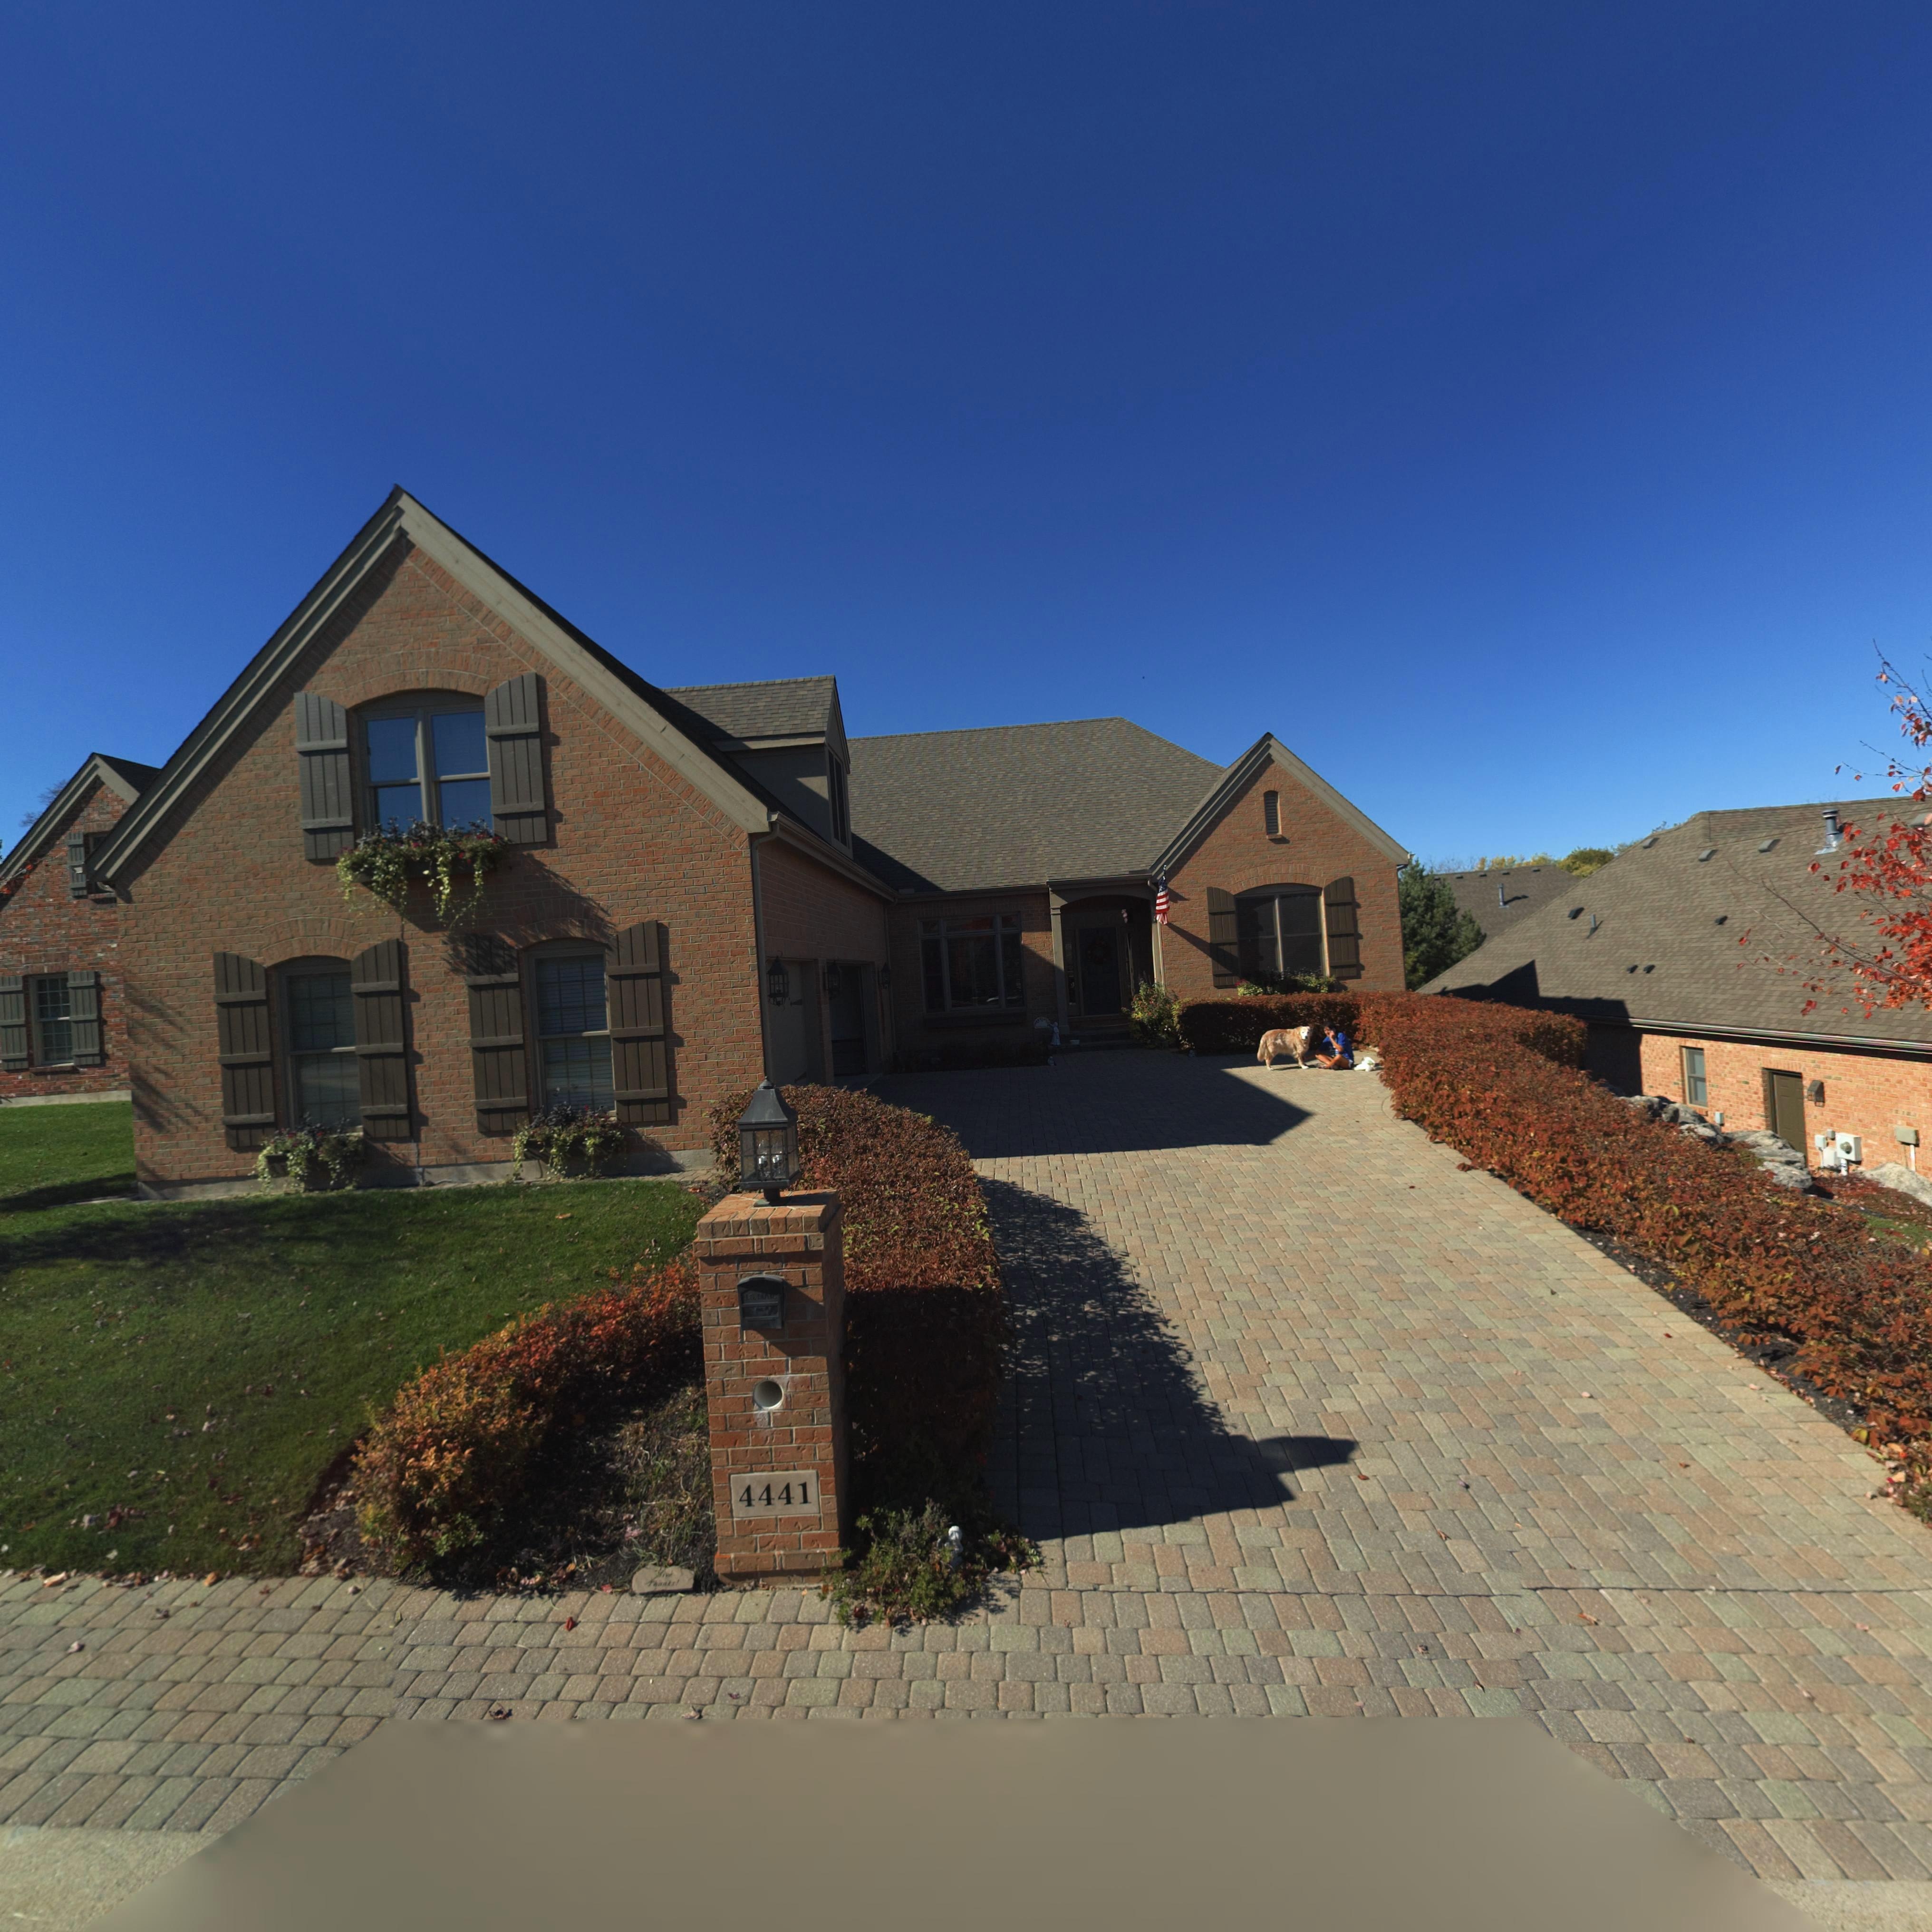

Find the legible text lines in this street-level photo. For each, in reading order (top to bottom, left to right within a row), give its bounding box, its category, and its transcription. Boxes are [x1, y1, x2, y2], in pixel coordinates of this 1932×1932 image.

[736, 1478, 814, 1510] StreetNumber: 4441